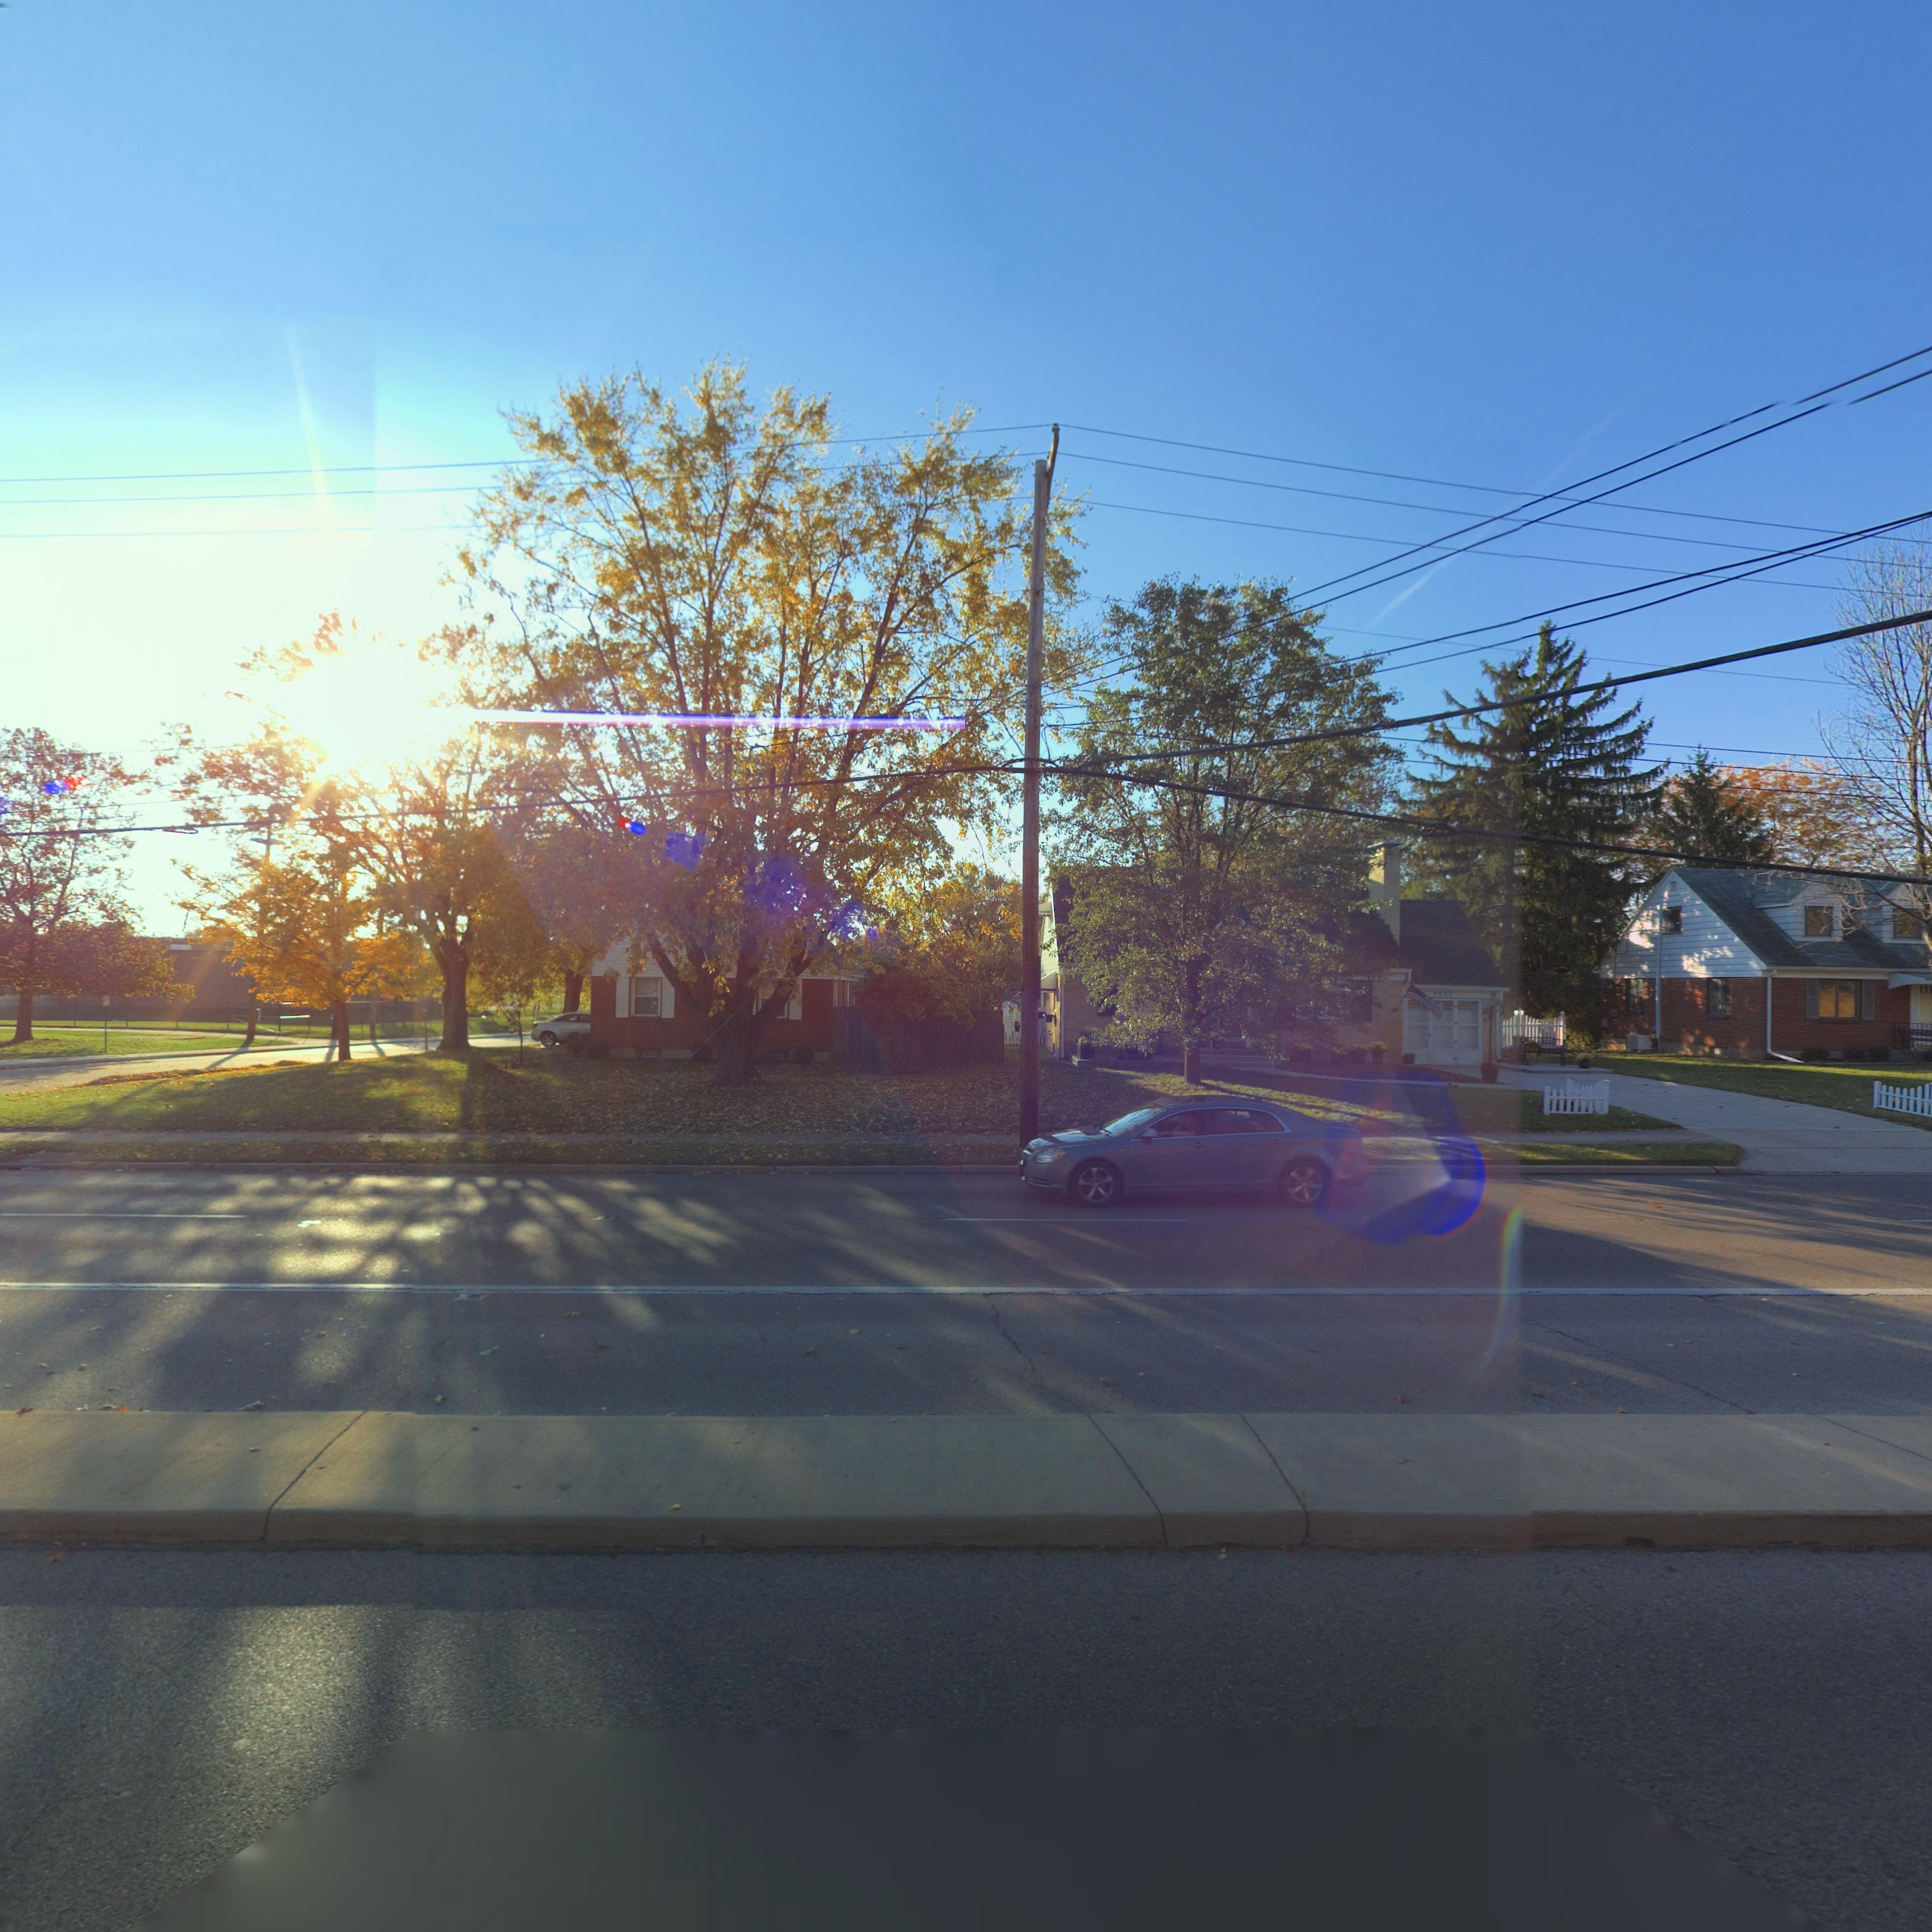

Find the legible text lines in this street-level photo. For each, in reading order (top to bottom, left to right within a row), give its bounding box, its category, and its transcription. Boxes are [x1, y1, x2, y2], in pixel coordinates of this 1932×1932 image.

[1433, 991, 1453, 997] StreetNumber: 3657